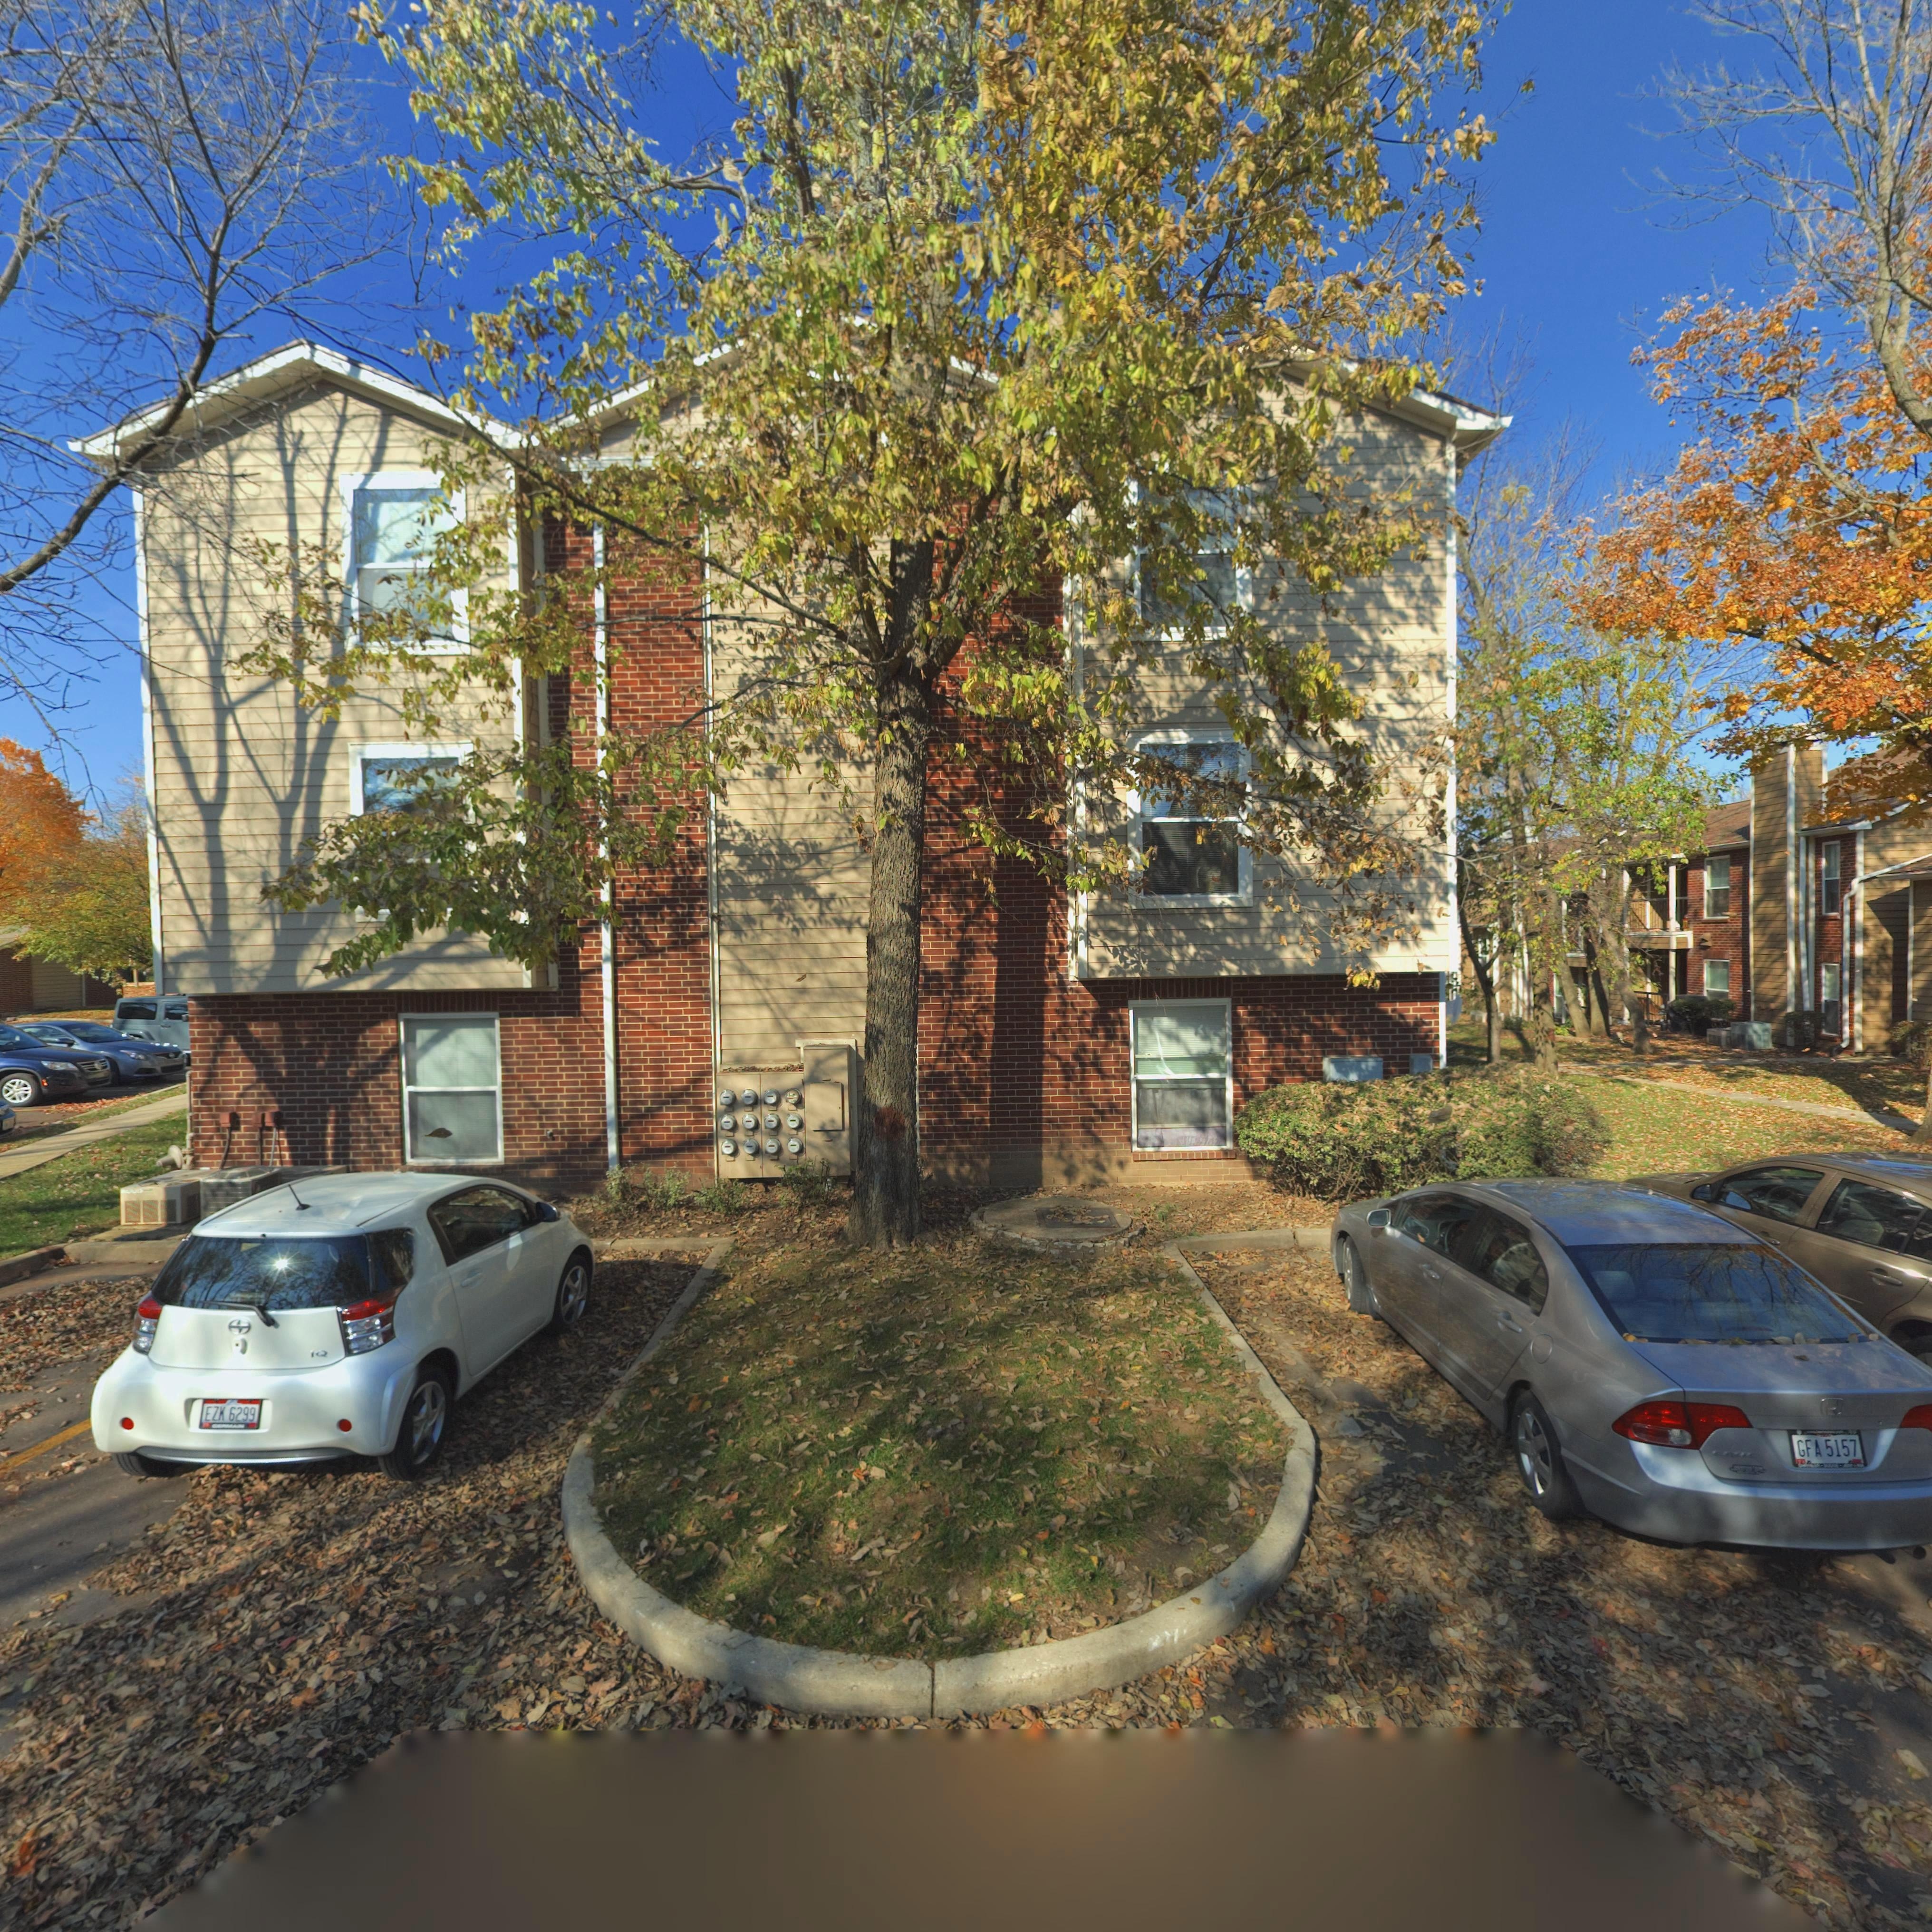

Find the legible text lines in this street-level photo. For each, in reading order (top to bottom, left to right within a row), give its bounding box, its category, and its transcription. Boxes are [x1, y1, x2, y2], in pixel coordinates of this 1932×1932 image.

[309, 1349, 328, 1359] None: IQ
[204, 1406, 257, 1422] None: EZK*6299
[211, 1423, 246, 1429] None: *ERMAIN
[1797, 1439, 1857, 1457] None: GFA*5157
[1711, 1450, 1758, 1459] None: CIVI*